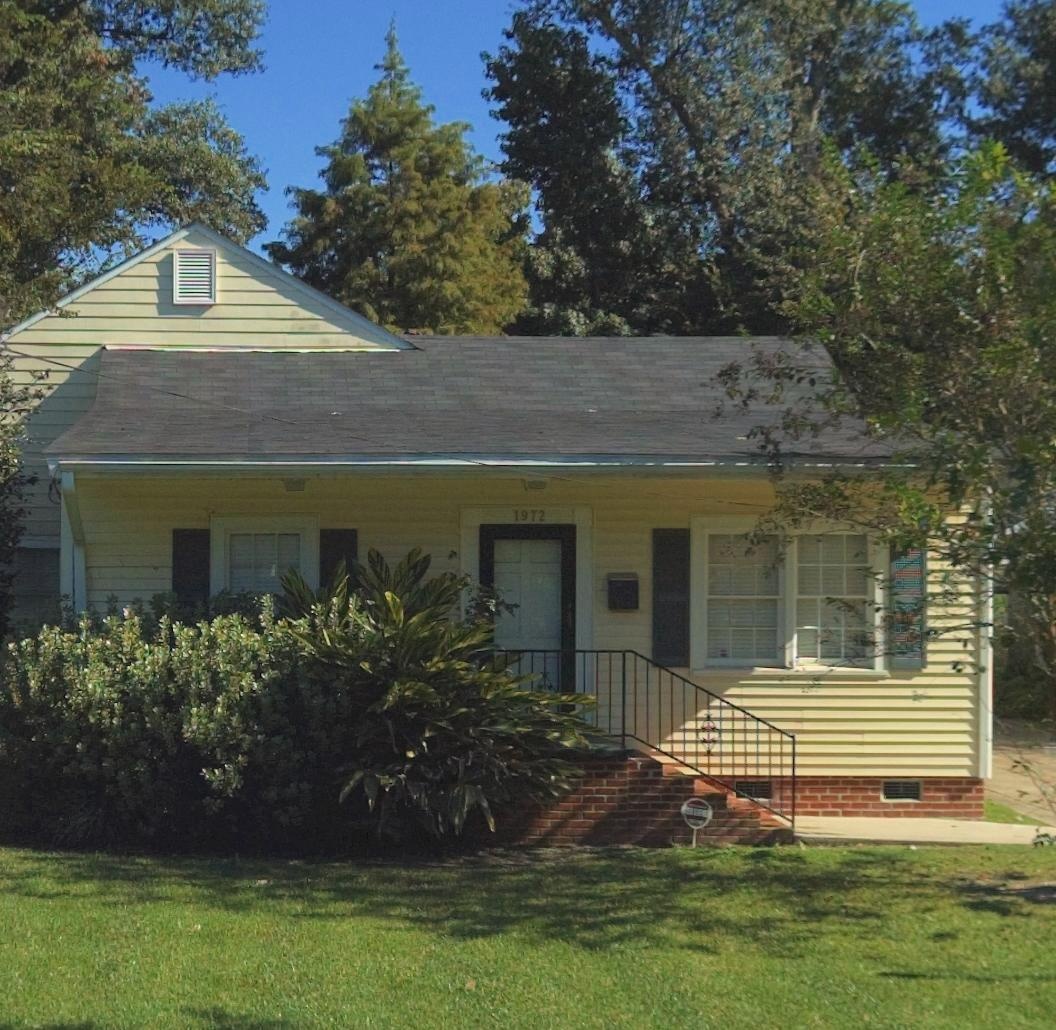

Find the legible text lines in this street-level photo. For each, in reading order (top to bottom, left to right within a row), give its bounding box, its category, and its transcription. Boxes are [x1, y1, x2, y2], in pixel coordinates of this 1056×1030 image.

[513, 508, 547, 524] StreetNumber: 1972